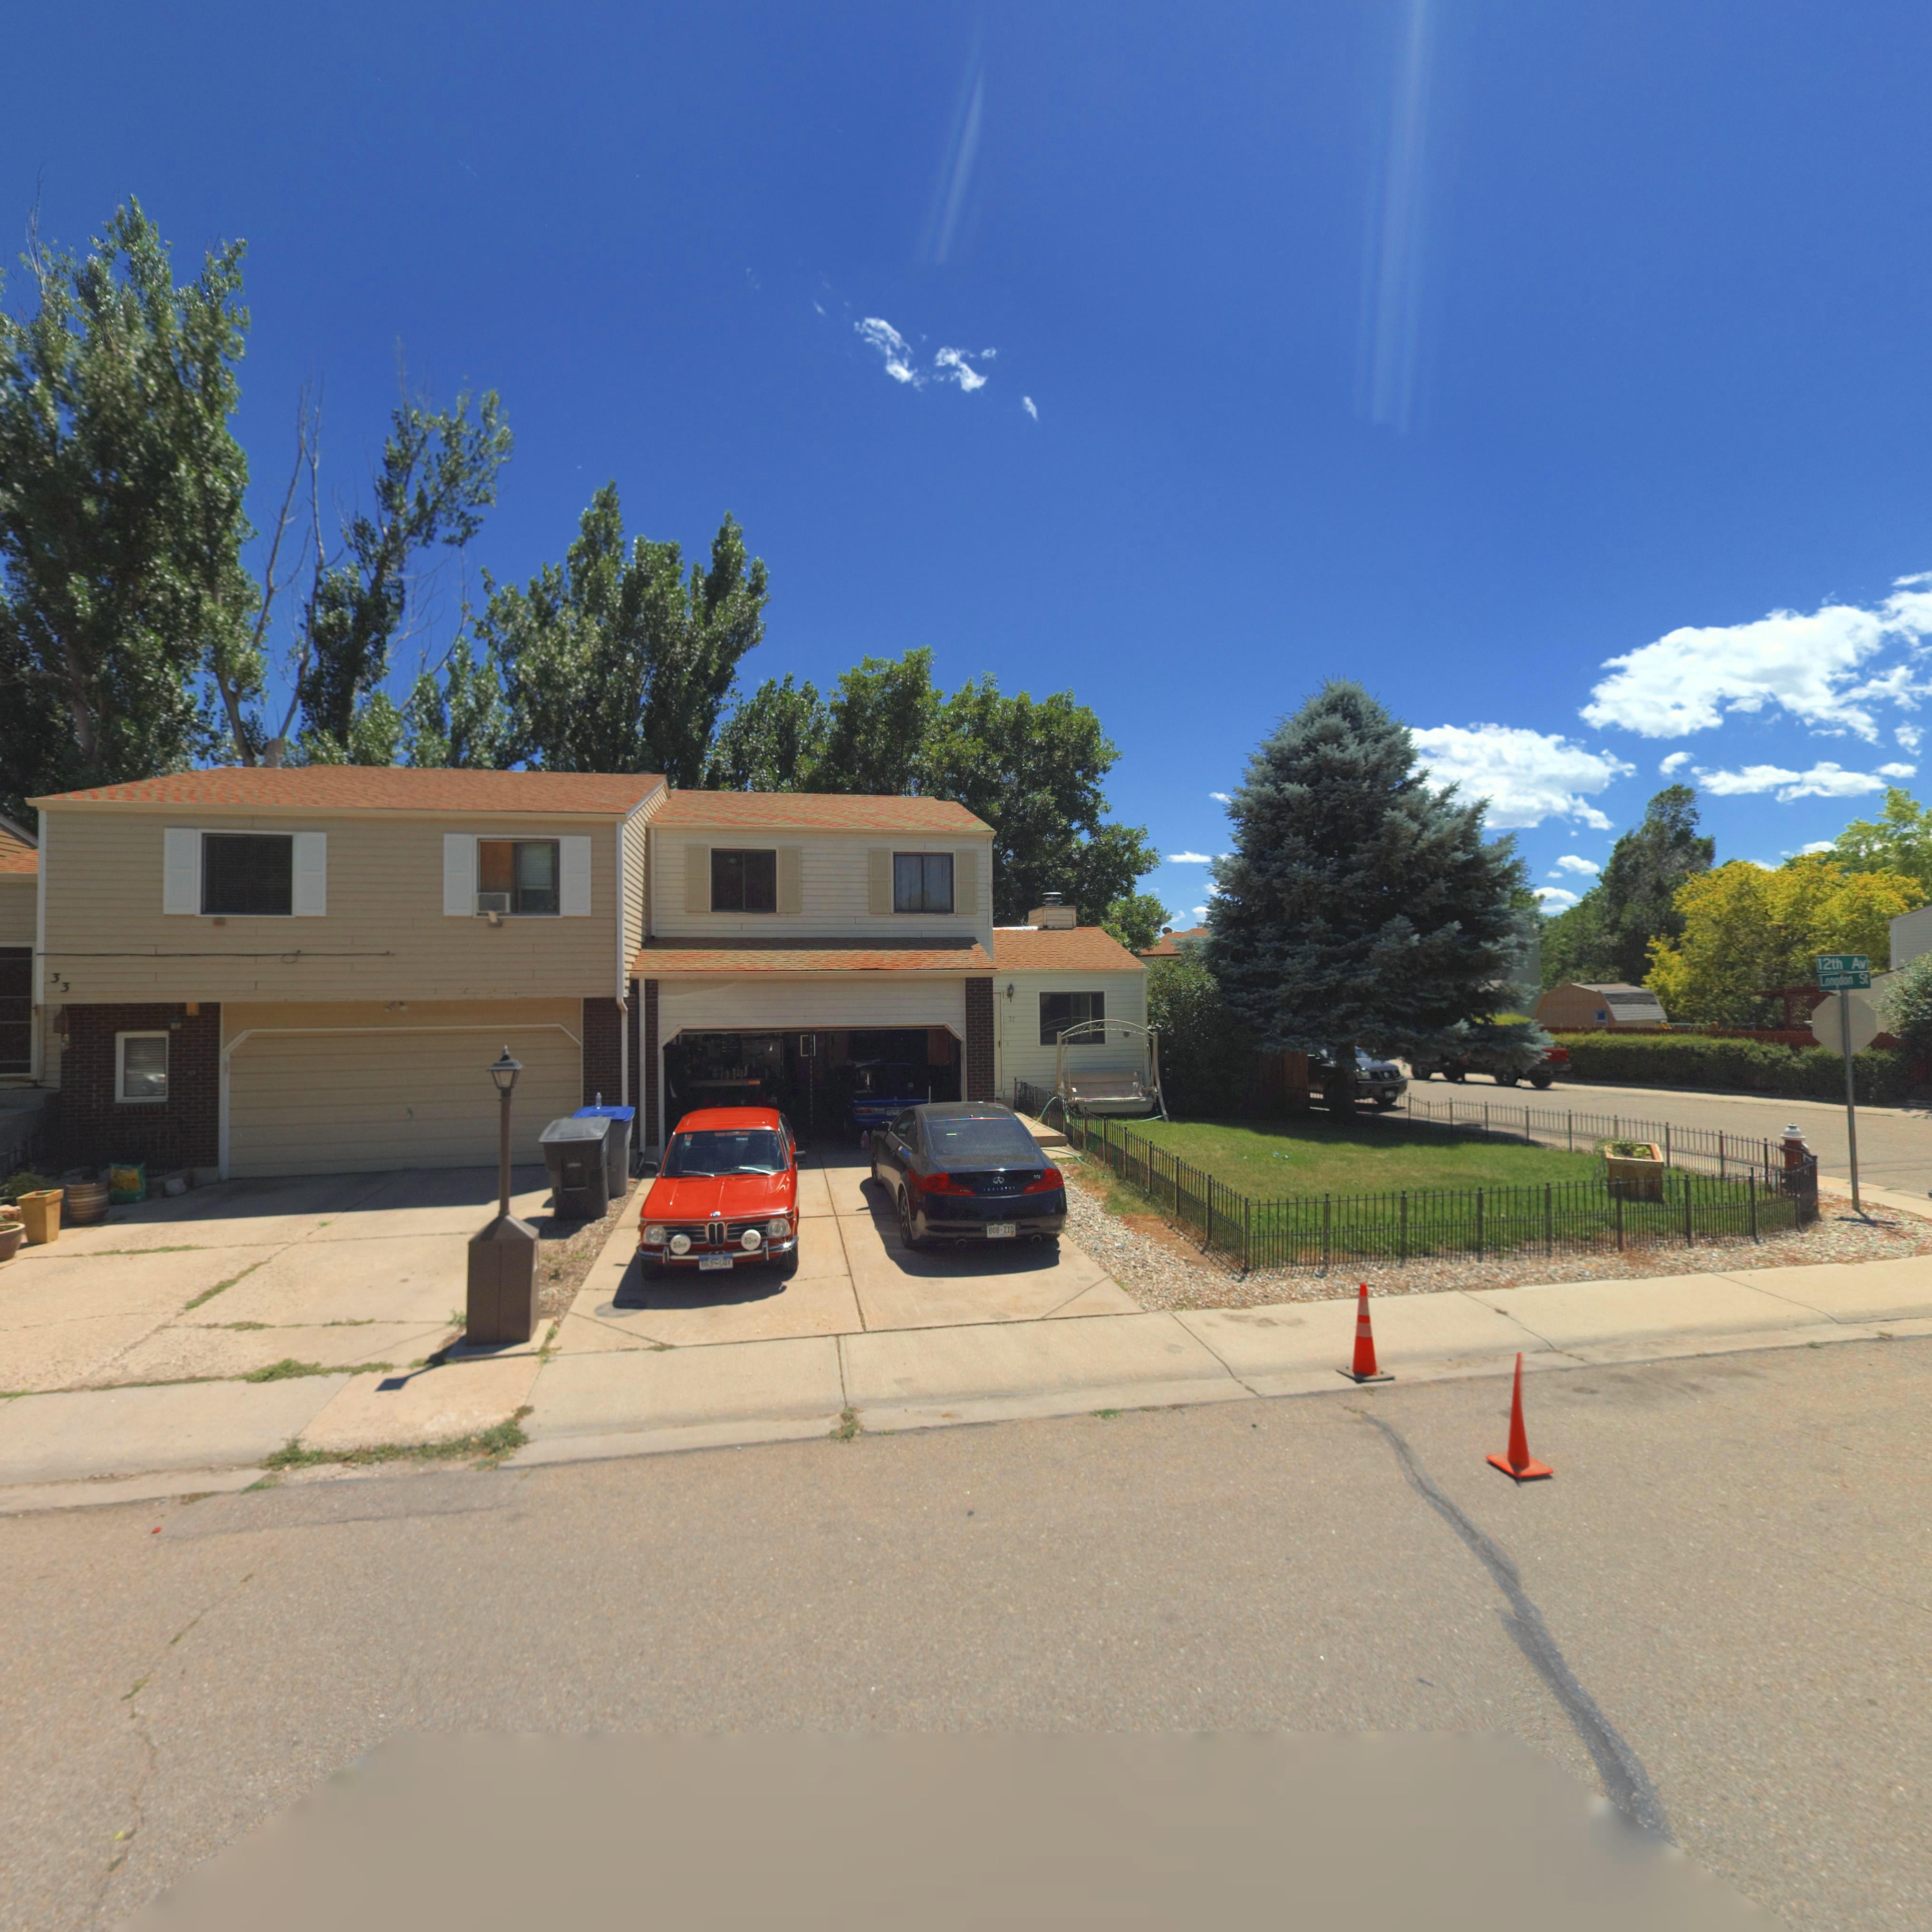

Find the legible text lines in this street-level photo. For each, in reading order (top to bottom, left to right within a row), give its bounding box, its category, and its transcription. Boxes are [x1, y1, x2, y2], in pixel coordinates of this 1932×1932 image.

[1816, 956, 1867, 970] StreetName: 12th Av
[49, 972, 70, 993] StreetNumber: 33
[1819, 973, 1869, 989] StreetName: Longdon St
[1008, 1015, 1015, 1022] StreetNumber: 37